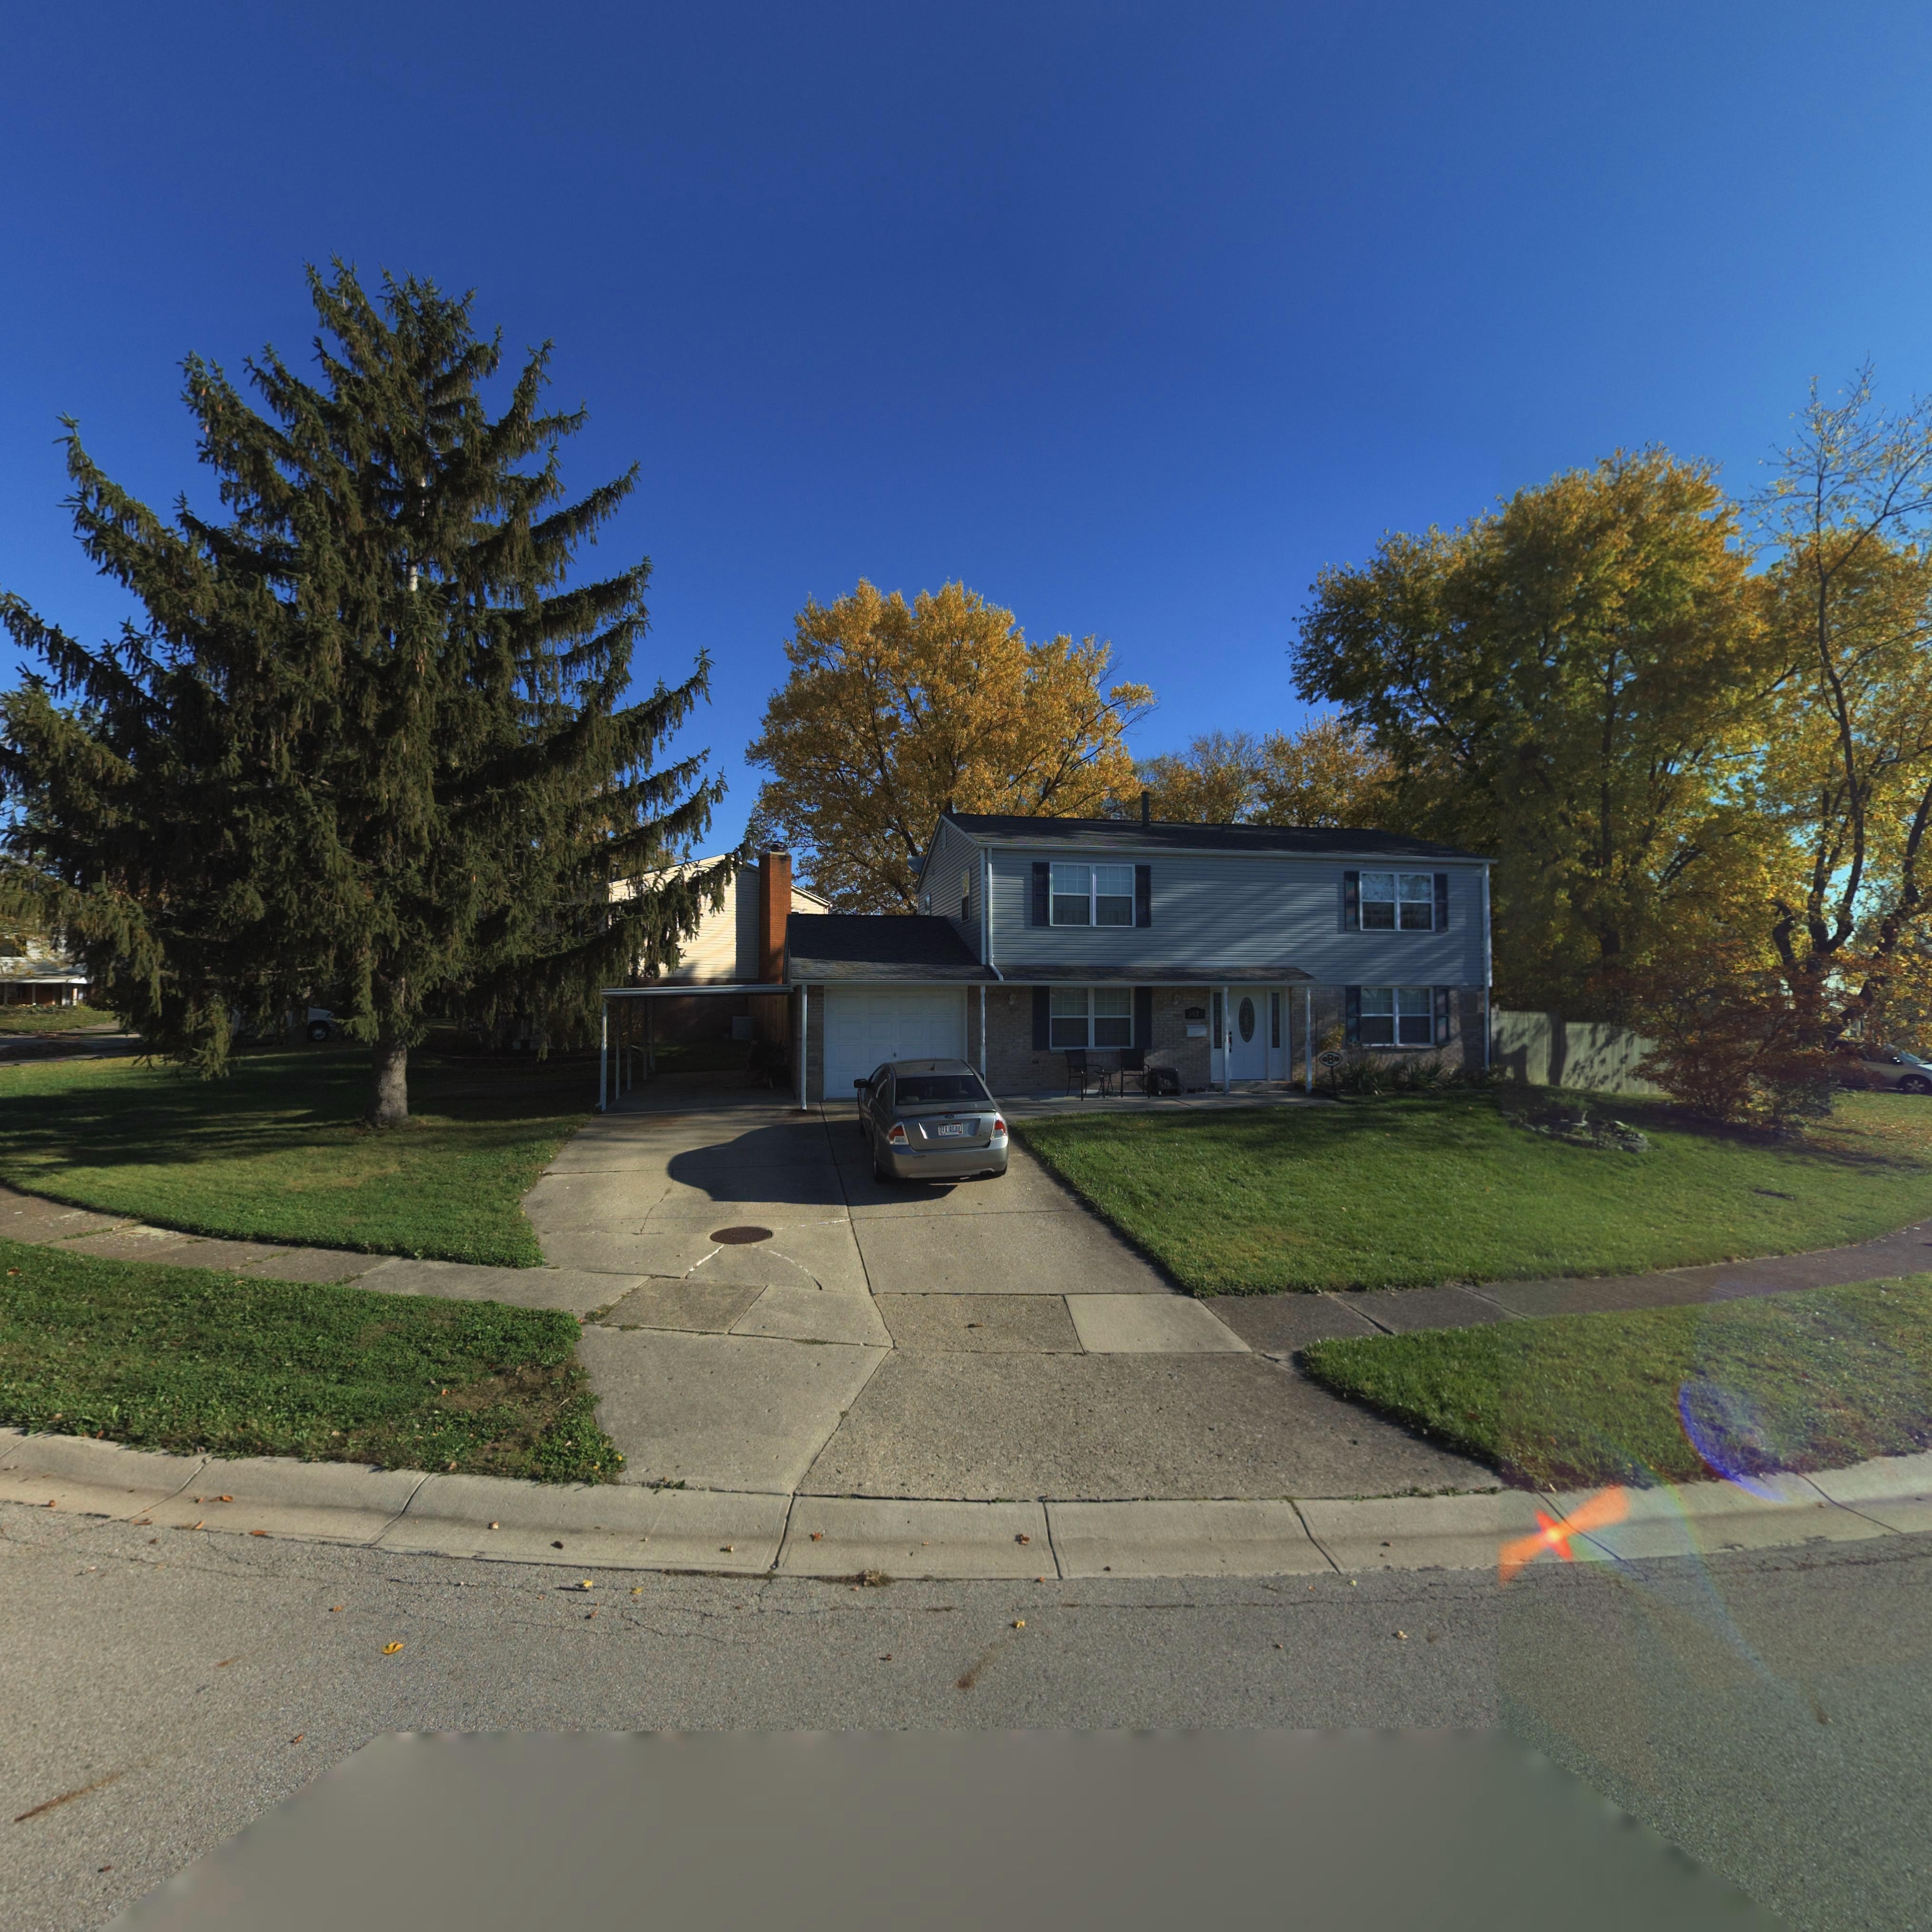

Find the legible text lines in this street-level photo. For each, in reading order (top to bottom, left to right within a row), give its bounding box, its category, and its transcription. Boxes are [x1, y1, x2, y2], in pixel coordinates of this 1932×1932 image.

[1188, 1010, 1204, 1019] StreetNumber: *92*